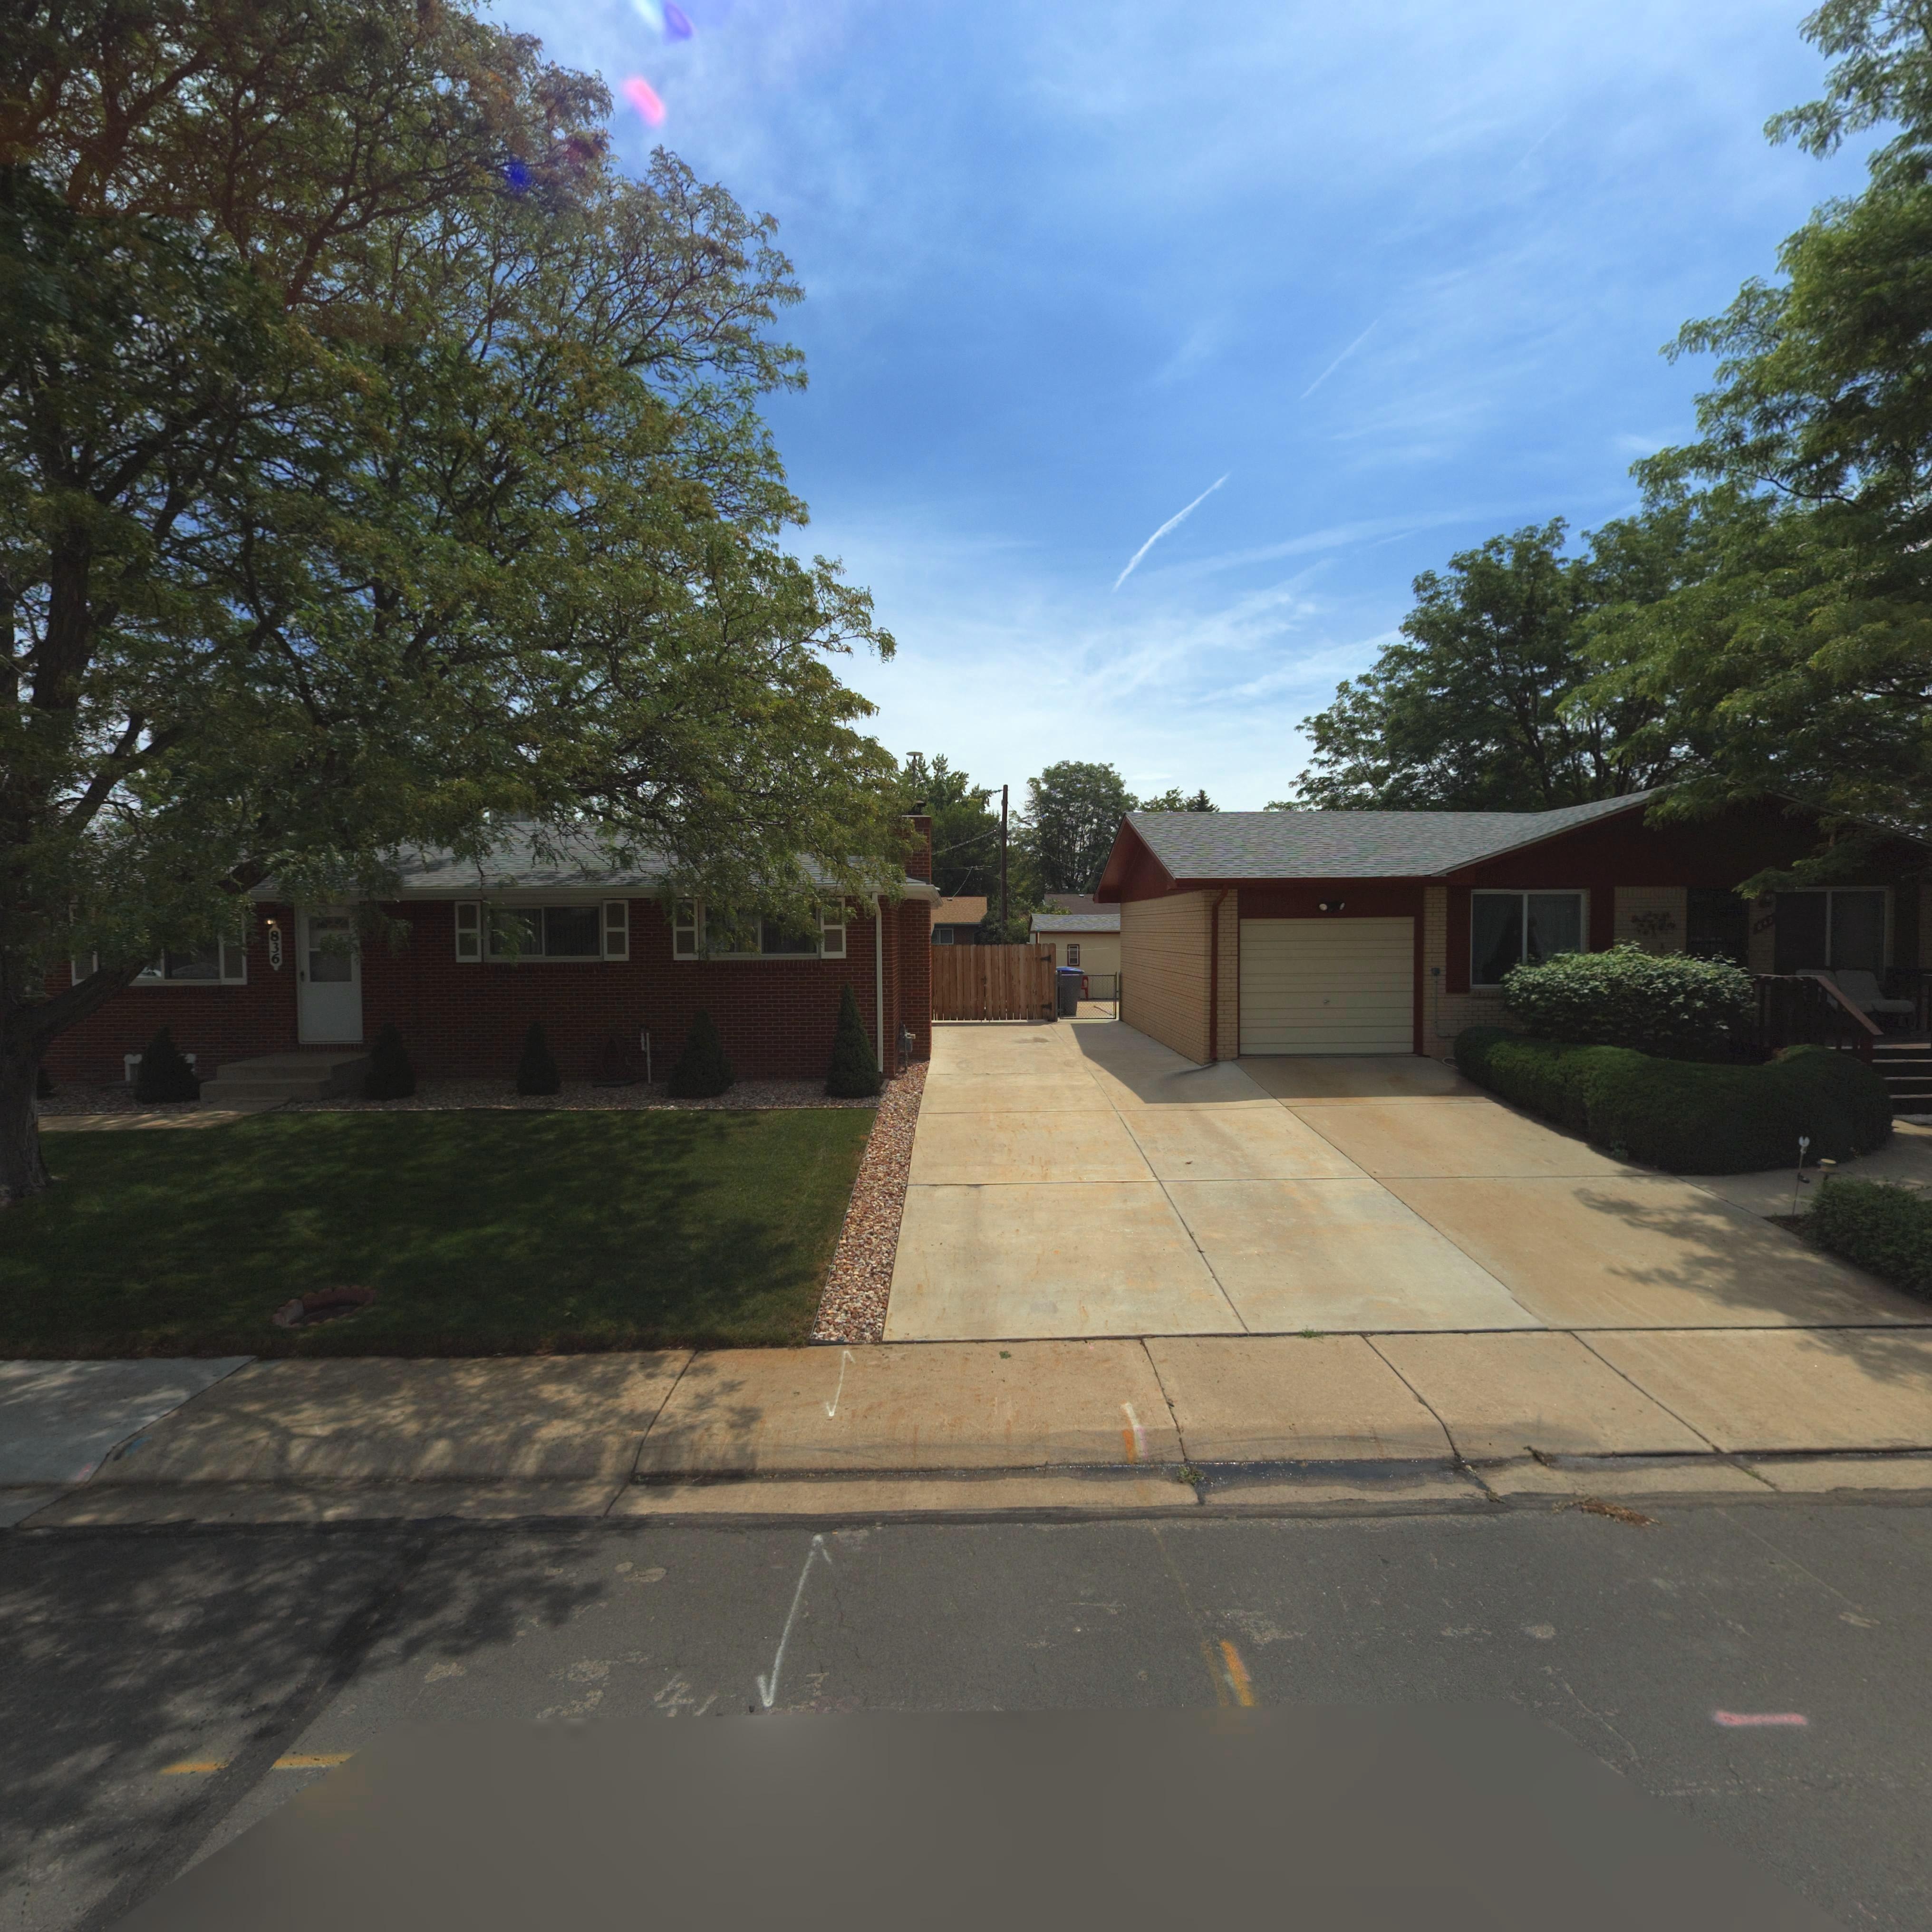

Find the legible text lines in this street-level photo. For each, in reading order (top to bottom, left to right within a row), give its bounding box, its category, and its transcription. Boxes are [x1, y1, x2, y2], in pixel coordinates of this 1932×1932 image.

[270, 930, 279, 964] StreetNumber: 836